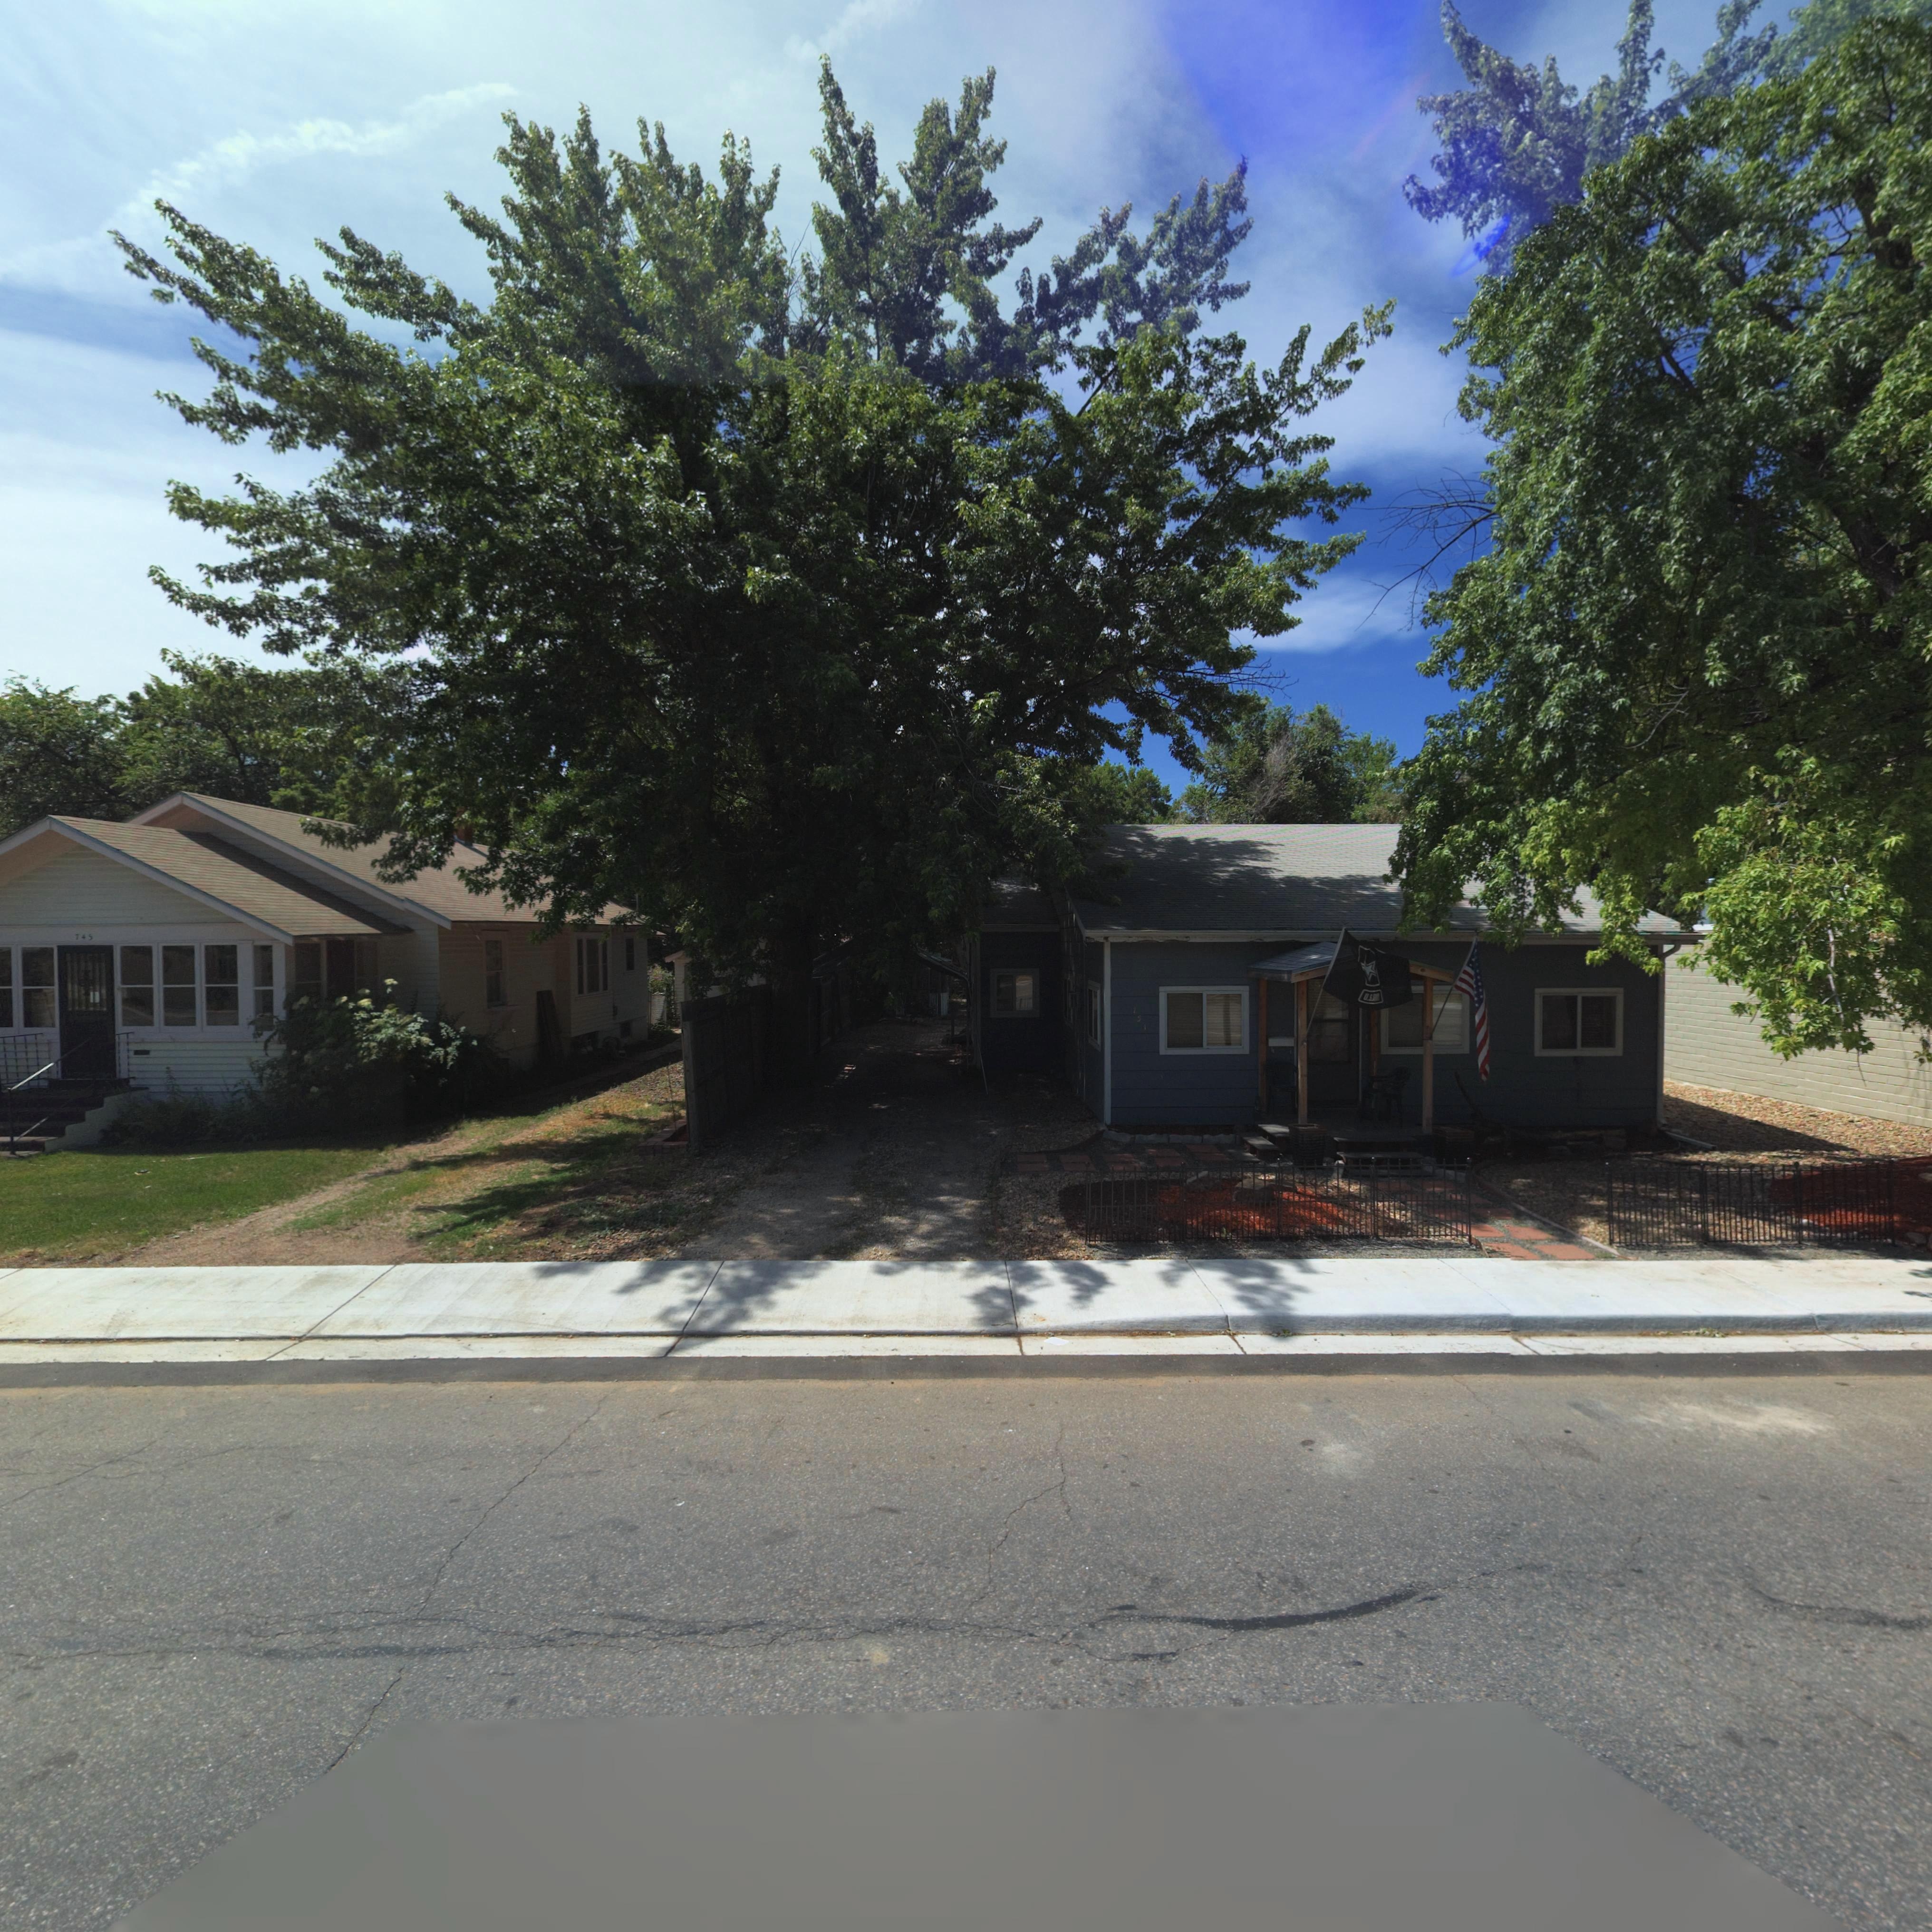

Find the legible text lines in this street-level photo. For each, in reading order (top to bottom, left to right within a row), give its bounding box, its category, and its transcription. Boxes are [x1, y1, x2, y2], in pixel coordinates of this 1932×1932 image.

[74, 933, 93, 941] StreetNumber: 745
[1131, 1006, 1146, 1030] StreetNumber: 751